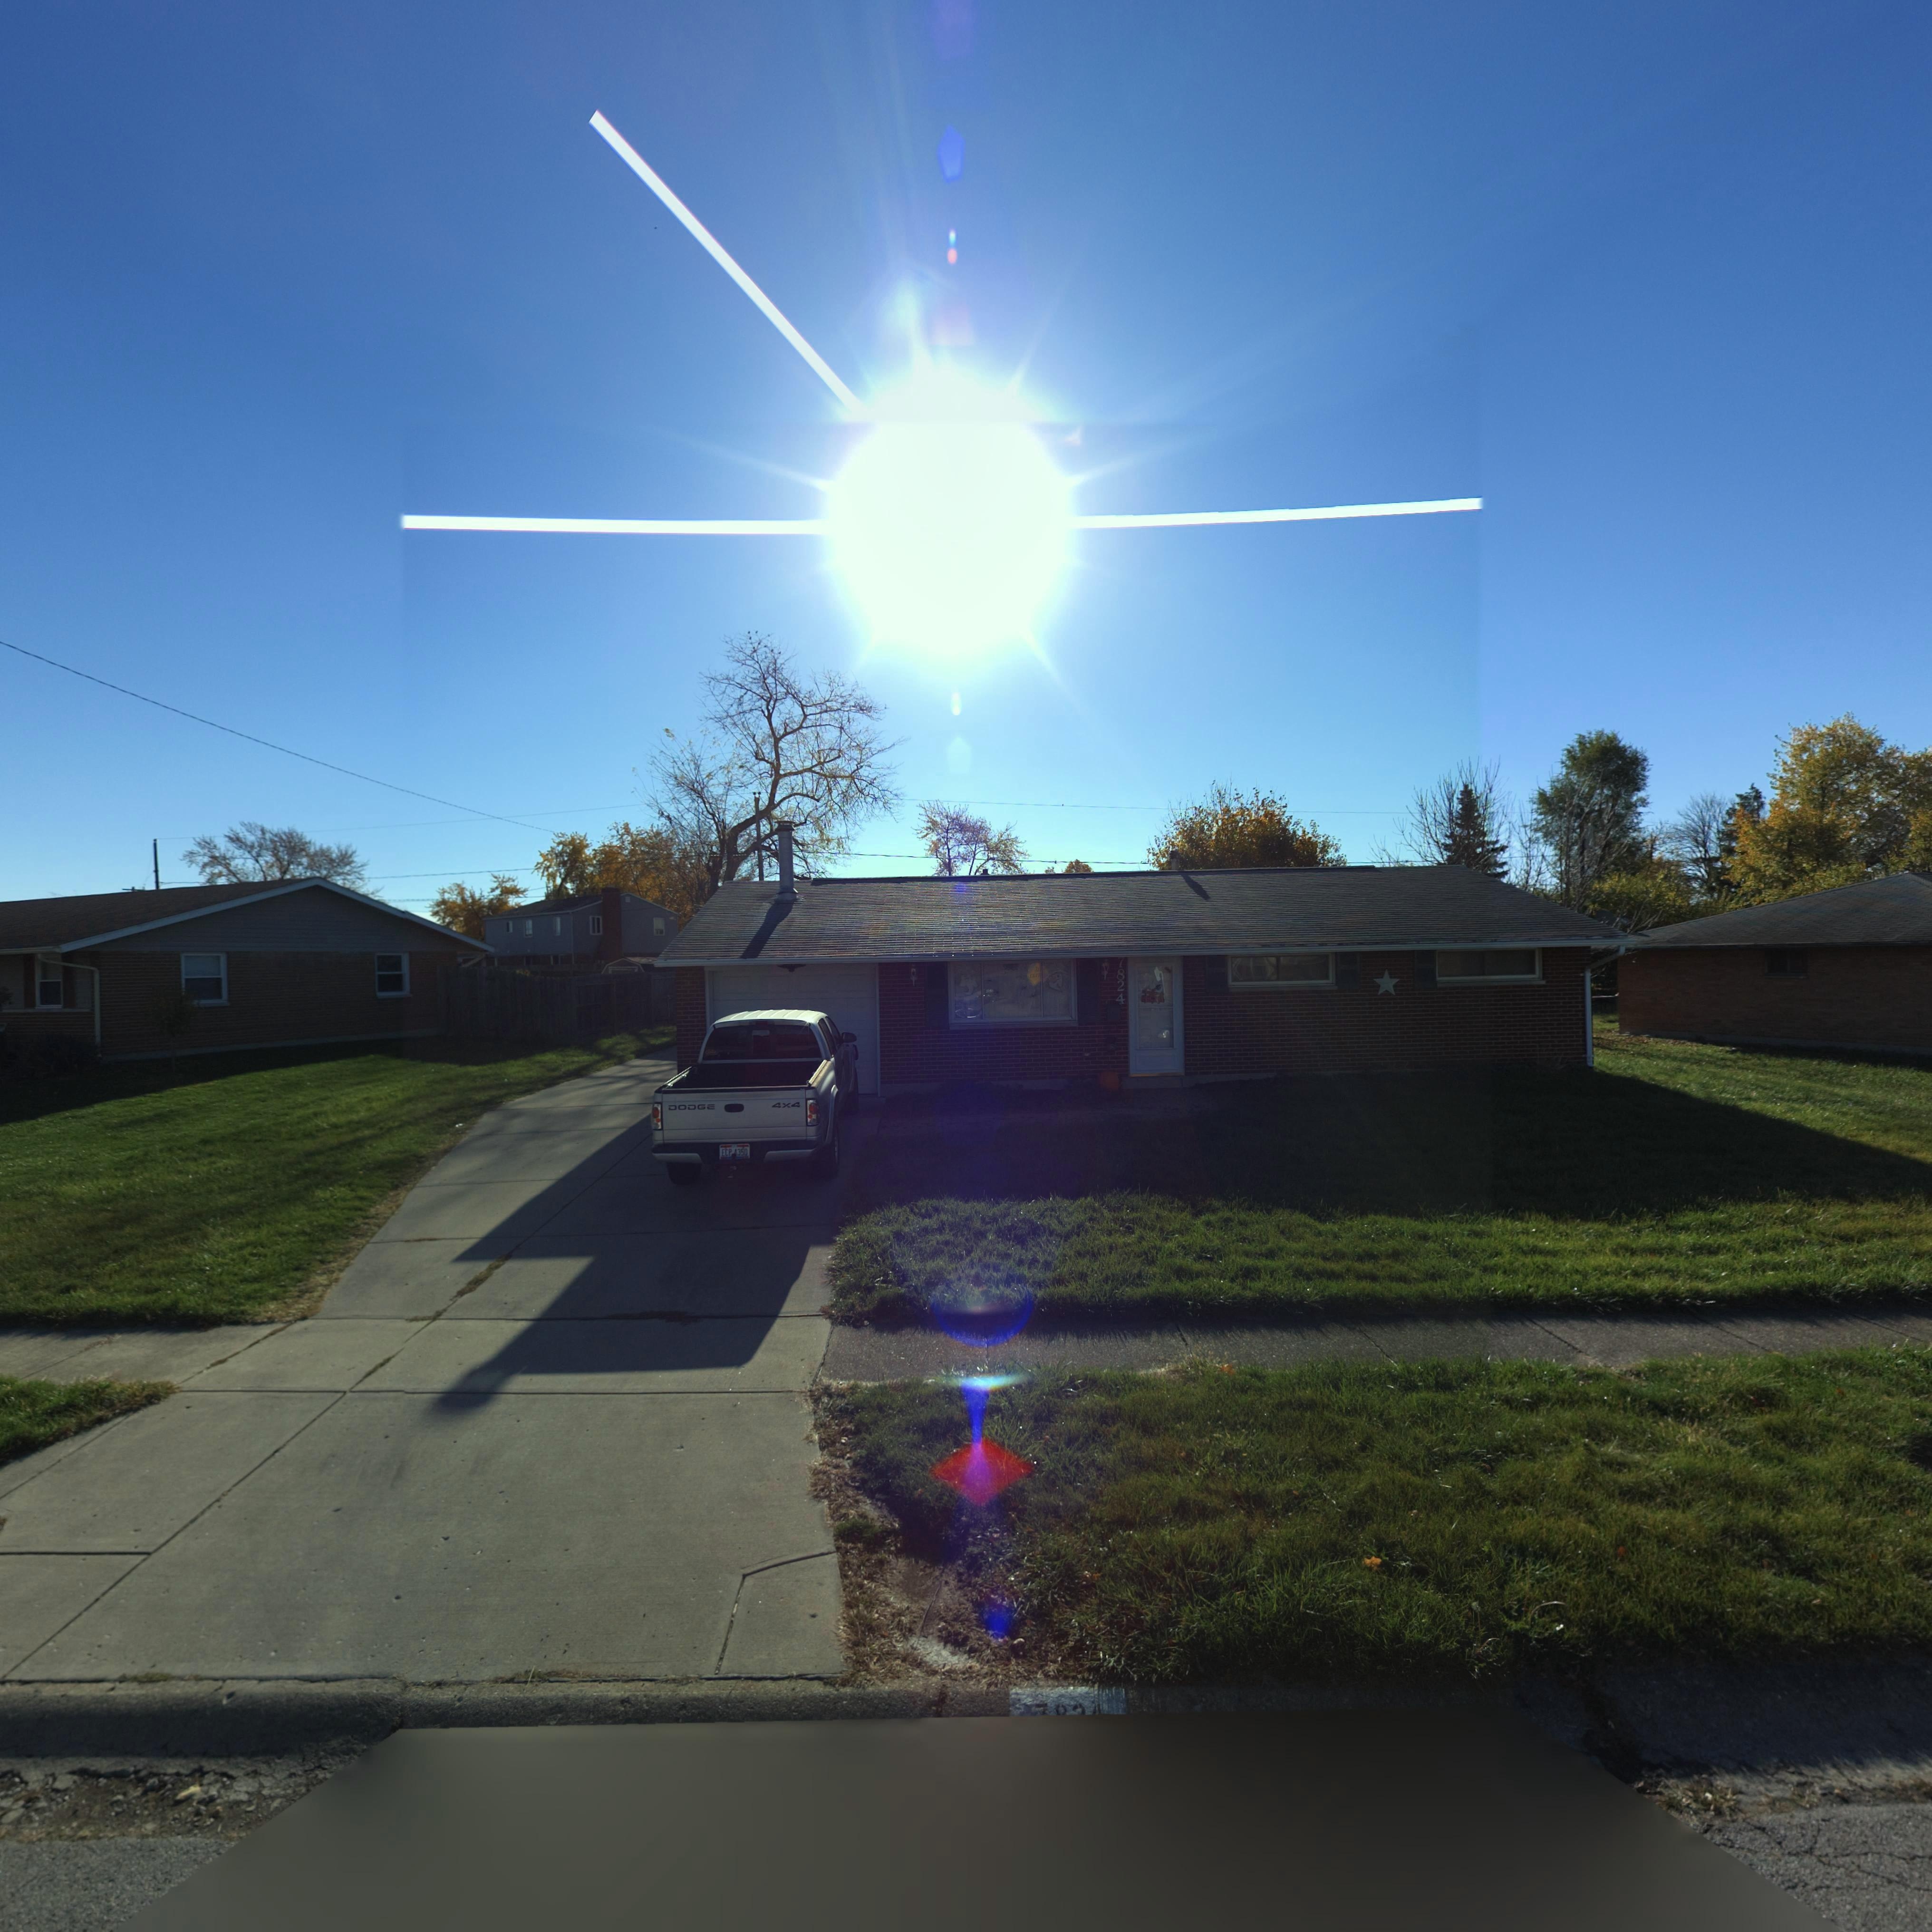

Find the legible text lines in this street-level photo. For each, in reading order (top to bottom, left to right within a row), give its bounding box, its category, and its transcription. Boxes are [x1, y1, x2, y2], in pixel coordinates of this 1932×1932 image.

[1115, 956, 1126, 1005] StreetNumber: 7824